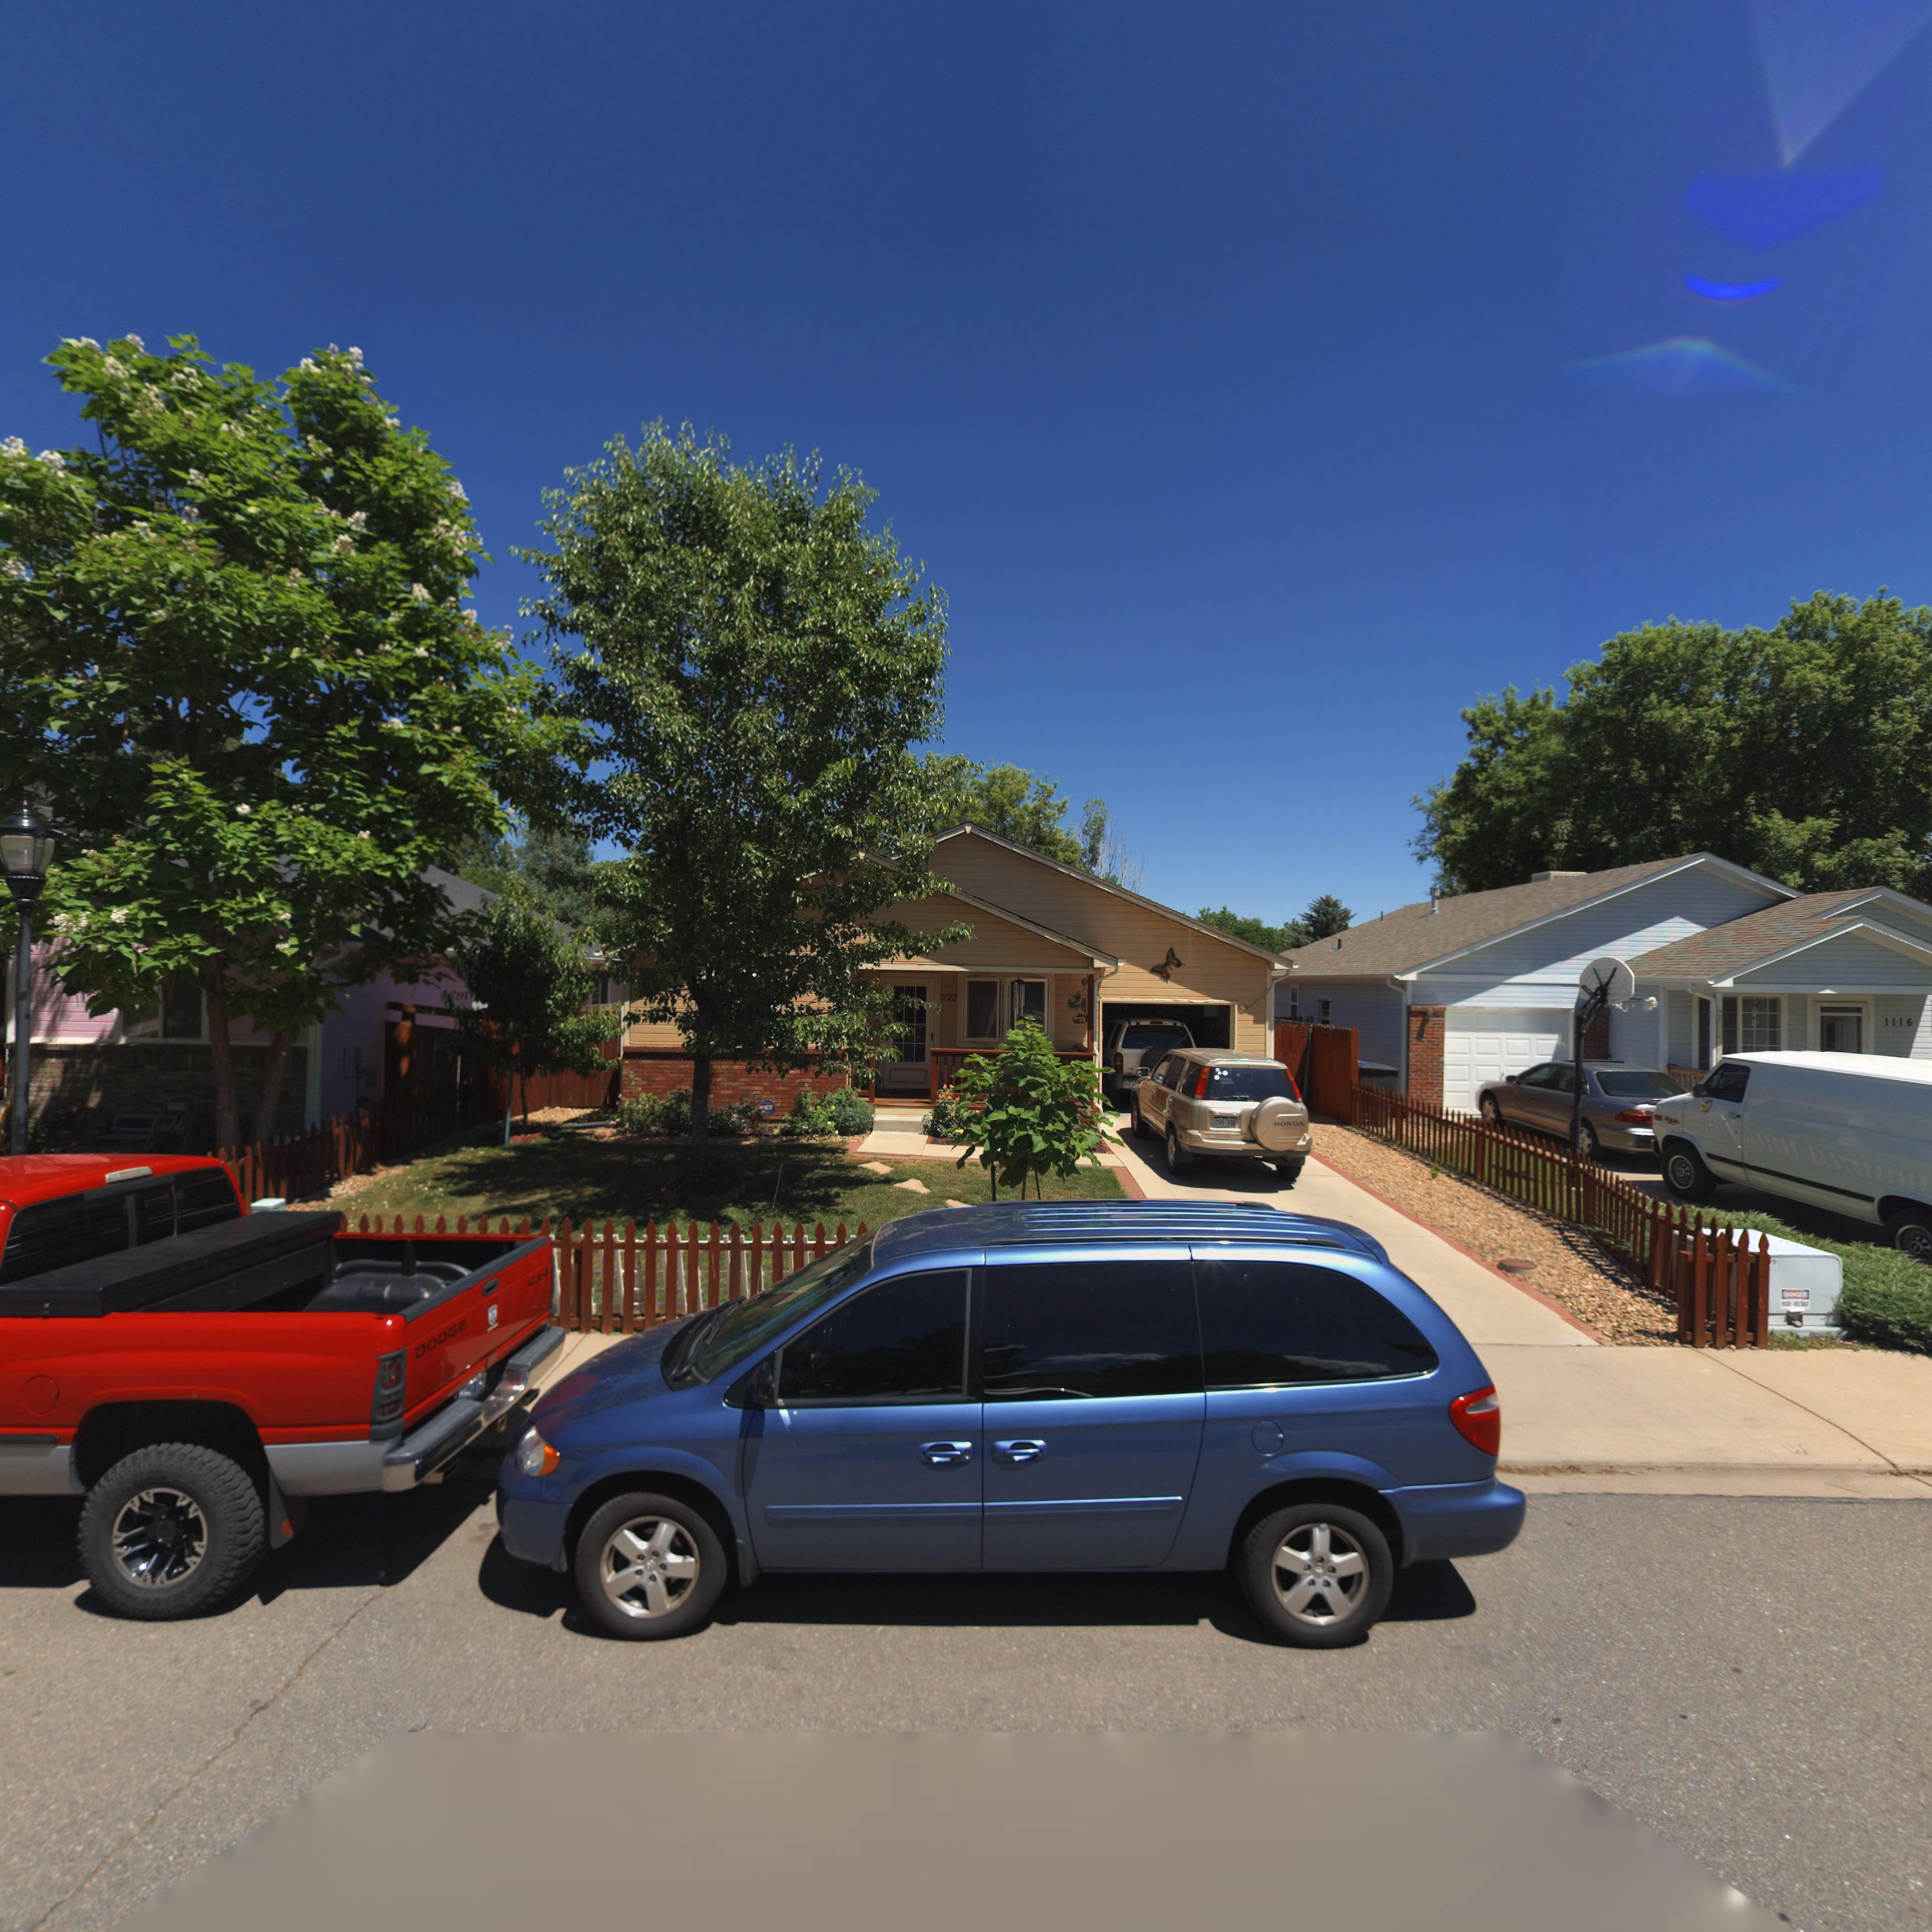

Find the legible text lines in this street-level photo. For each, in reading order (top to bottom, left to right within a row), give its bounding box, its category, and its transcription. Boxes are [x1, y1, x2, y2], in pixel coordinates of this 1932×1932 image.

[940, 993, 957, 1001] StreetNumber: 1122
[1884, 1017, 1913, 1026] StreetNumber: 1116